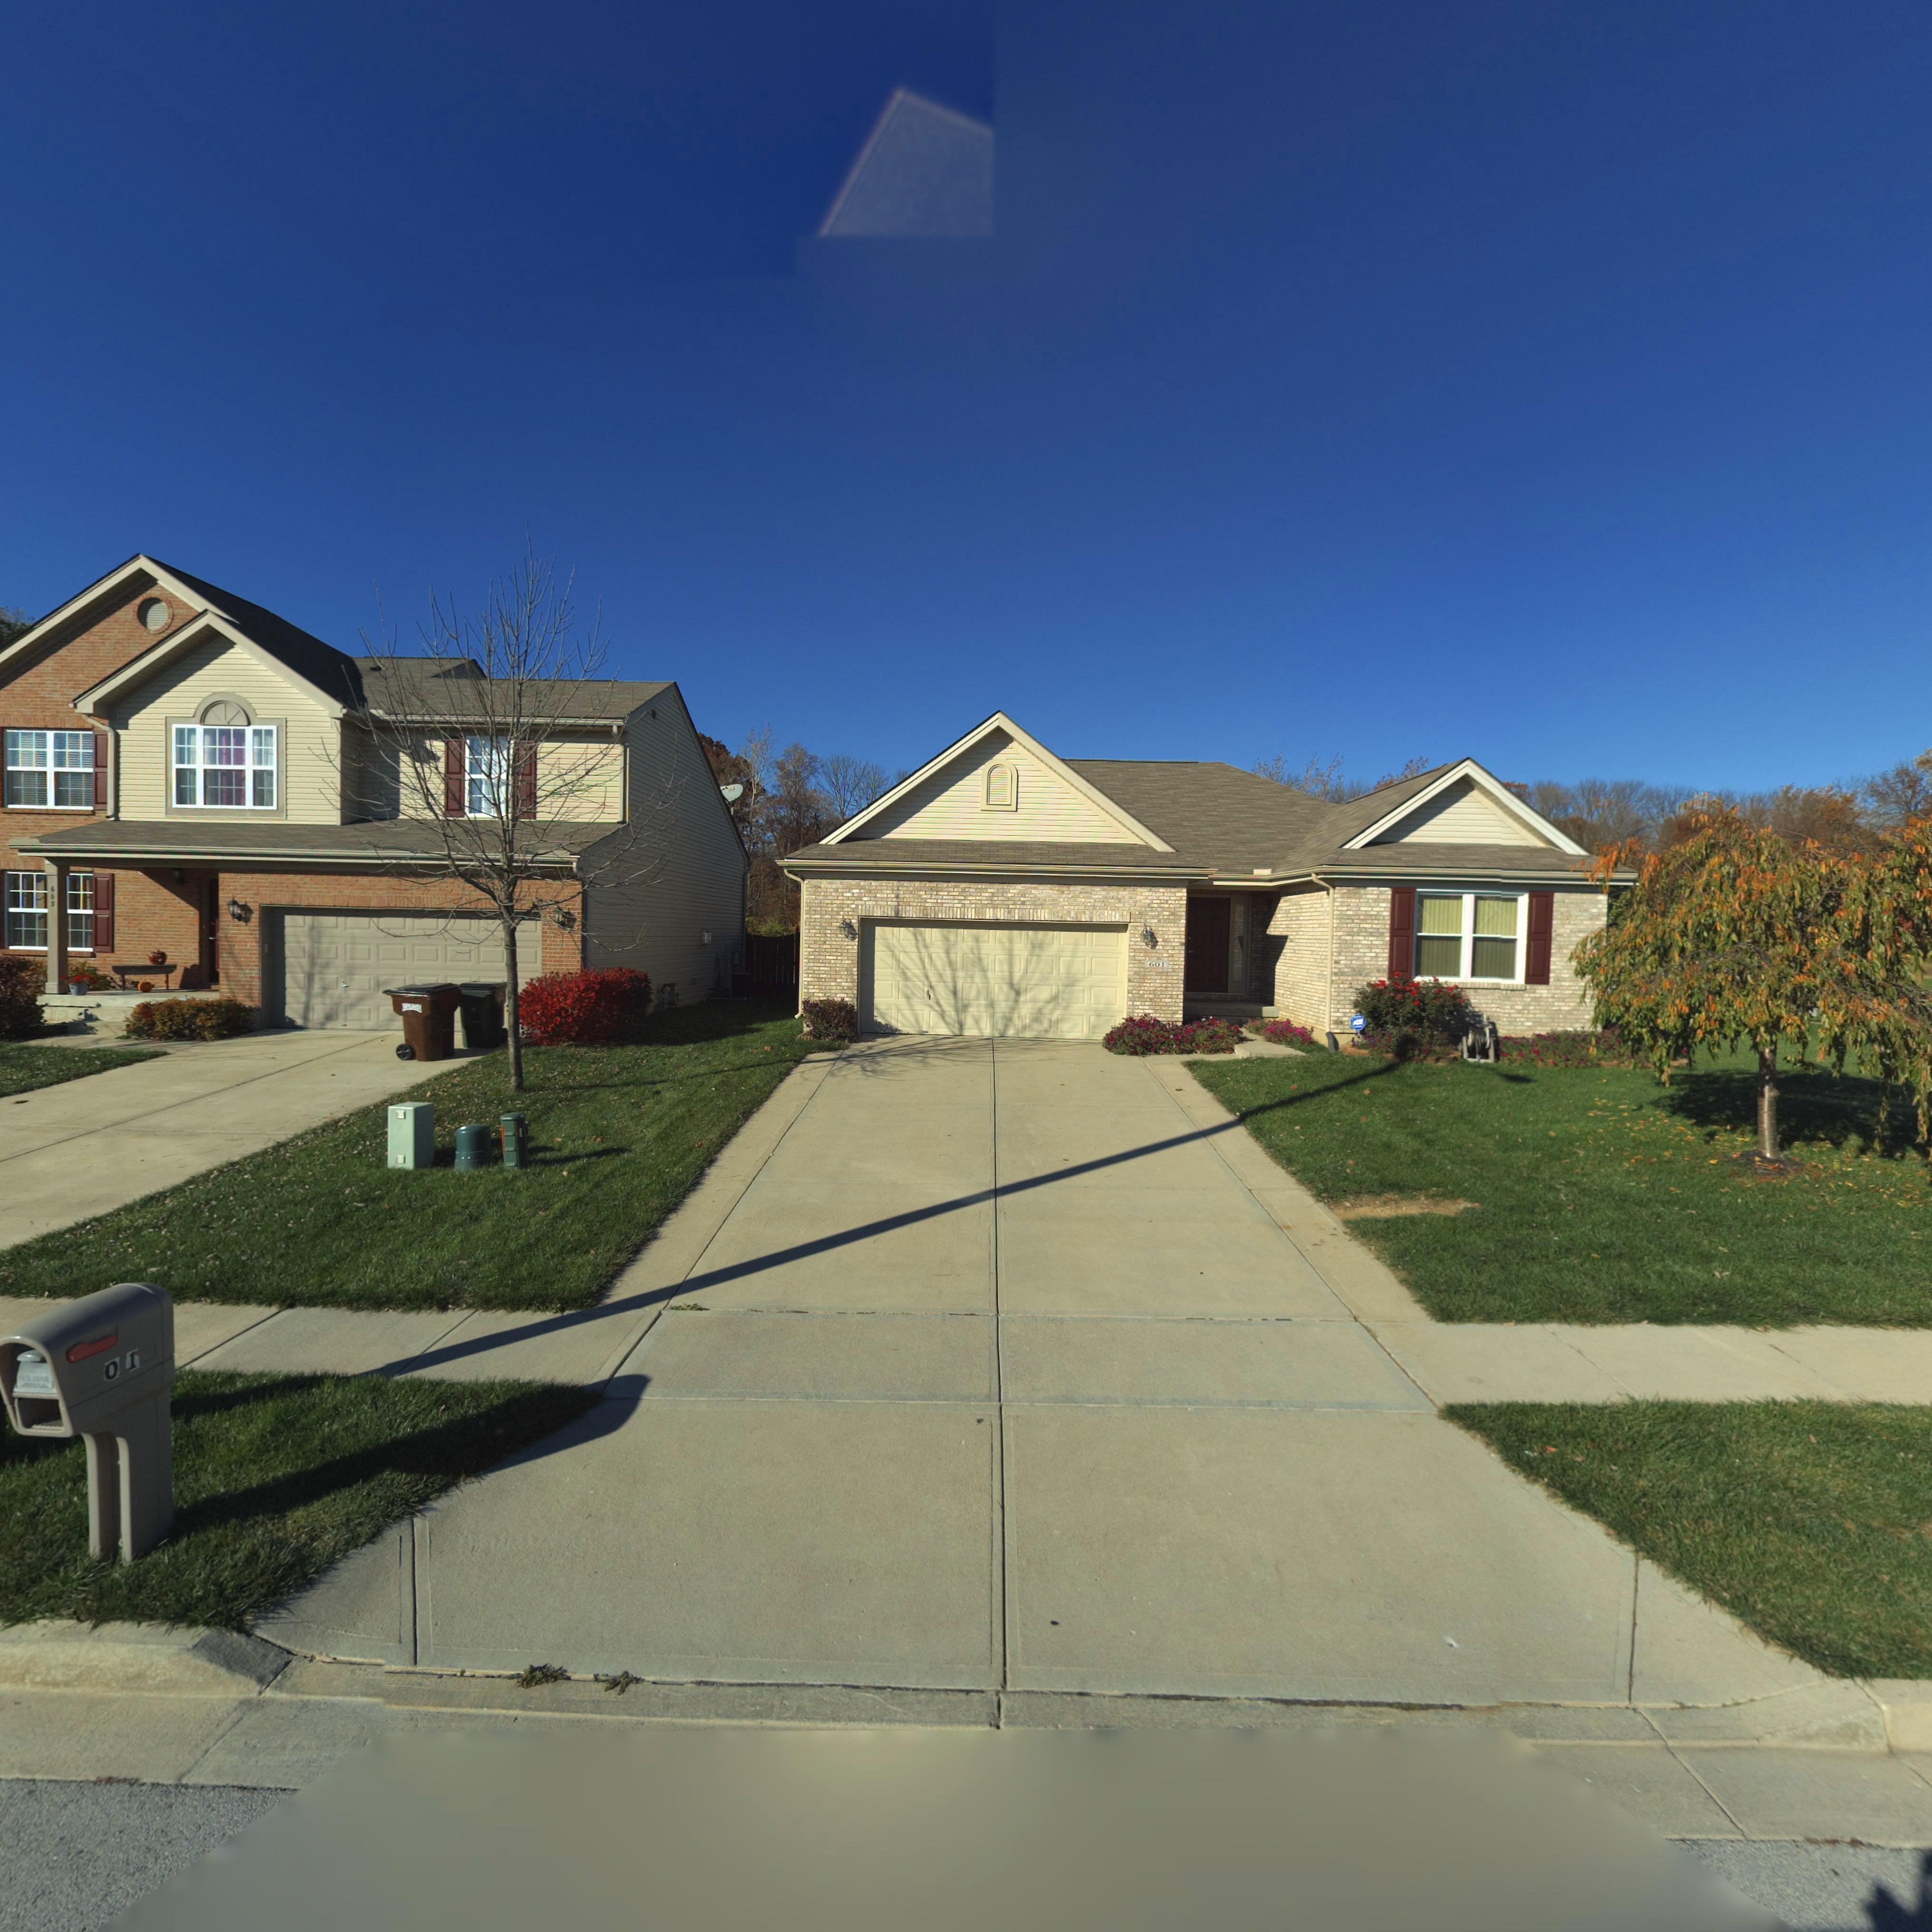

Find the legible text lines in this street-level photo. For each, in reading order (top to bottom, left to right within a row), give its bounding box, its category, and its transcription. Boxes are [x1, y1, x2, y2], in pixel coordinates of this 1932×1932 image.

[49, 885, 55, 907] StreetNumber: 603
[1149, 961, 1164, 967] StreetNumber: 601
[102, 1347, 139, 1382] StreetNumber: 01